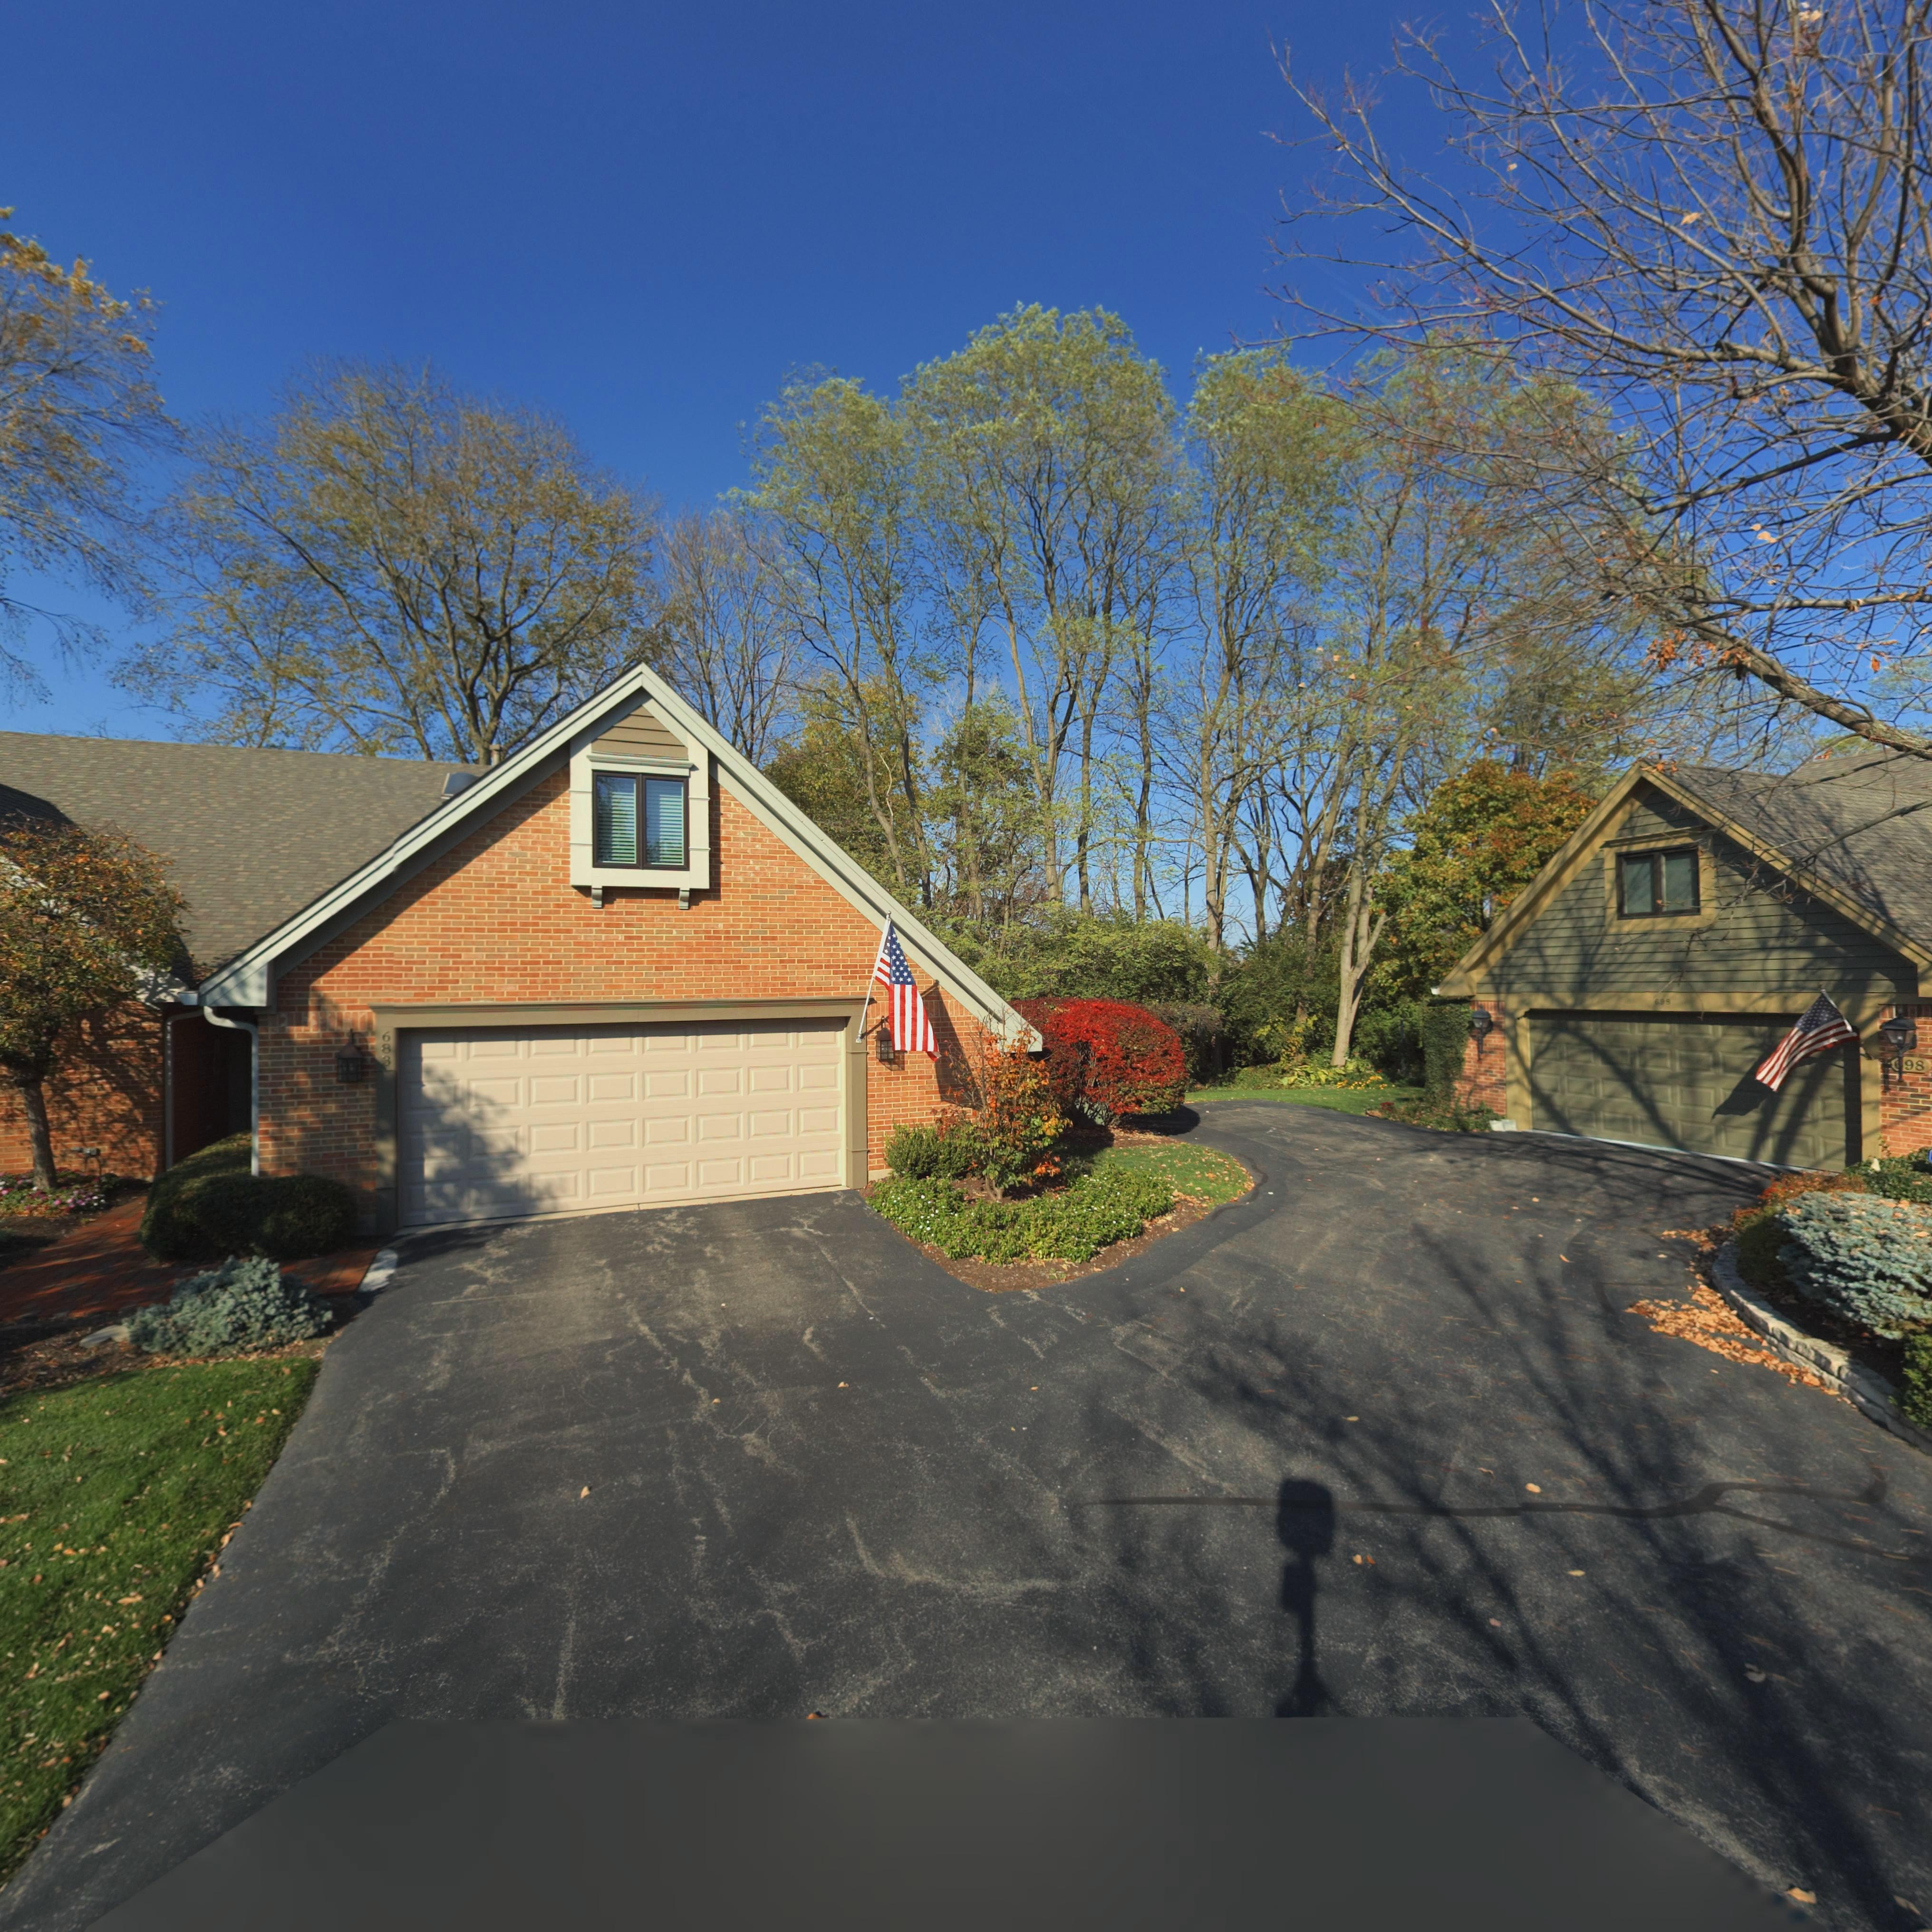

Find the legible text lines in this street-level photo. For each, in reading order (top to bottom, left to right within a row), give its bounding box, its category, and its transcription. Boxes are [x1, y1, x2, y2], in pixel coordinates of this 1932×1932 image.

[1653, 997, 1671, 1006] StreetNumber: 698
[380, 1030, 392, 1068] StreetNumber: 683
[1903, 1059, 1926, 1072] StreetNumber: 98